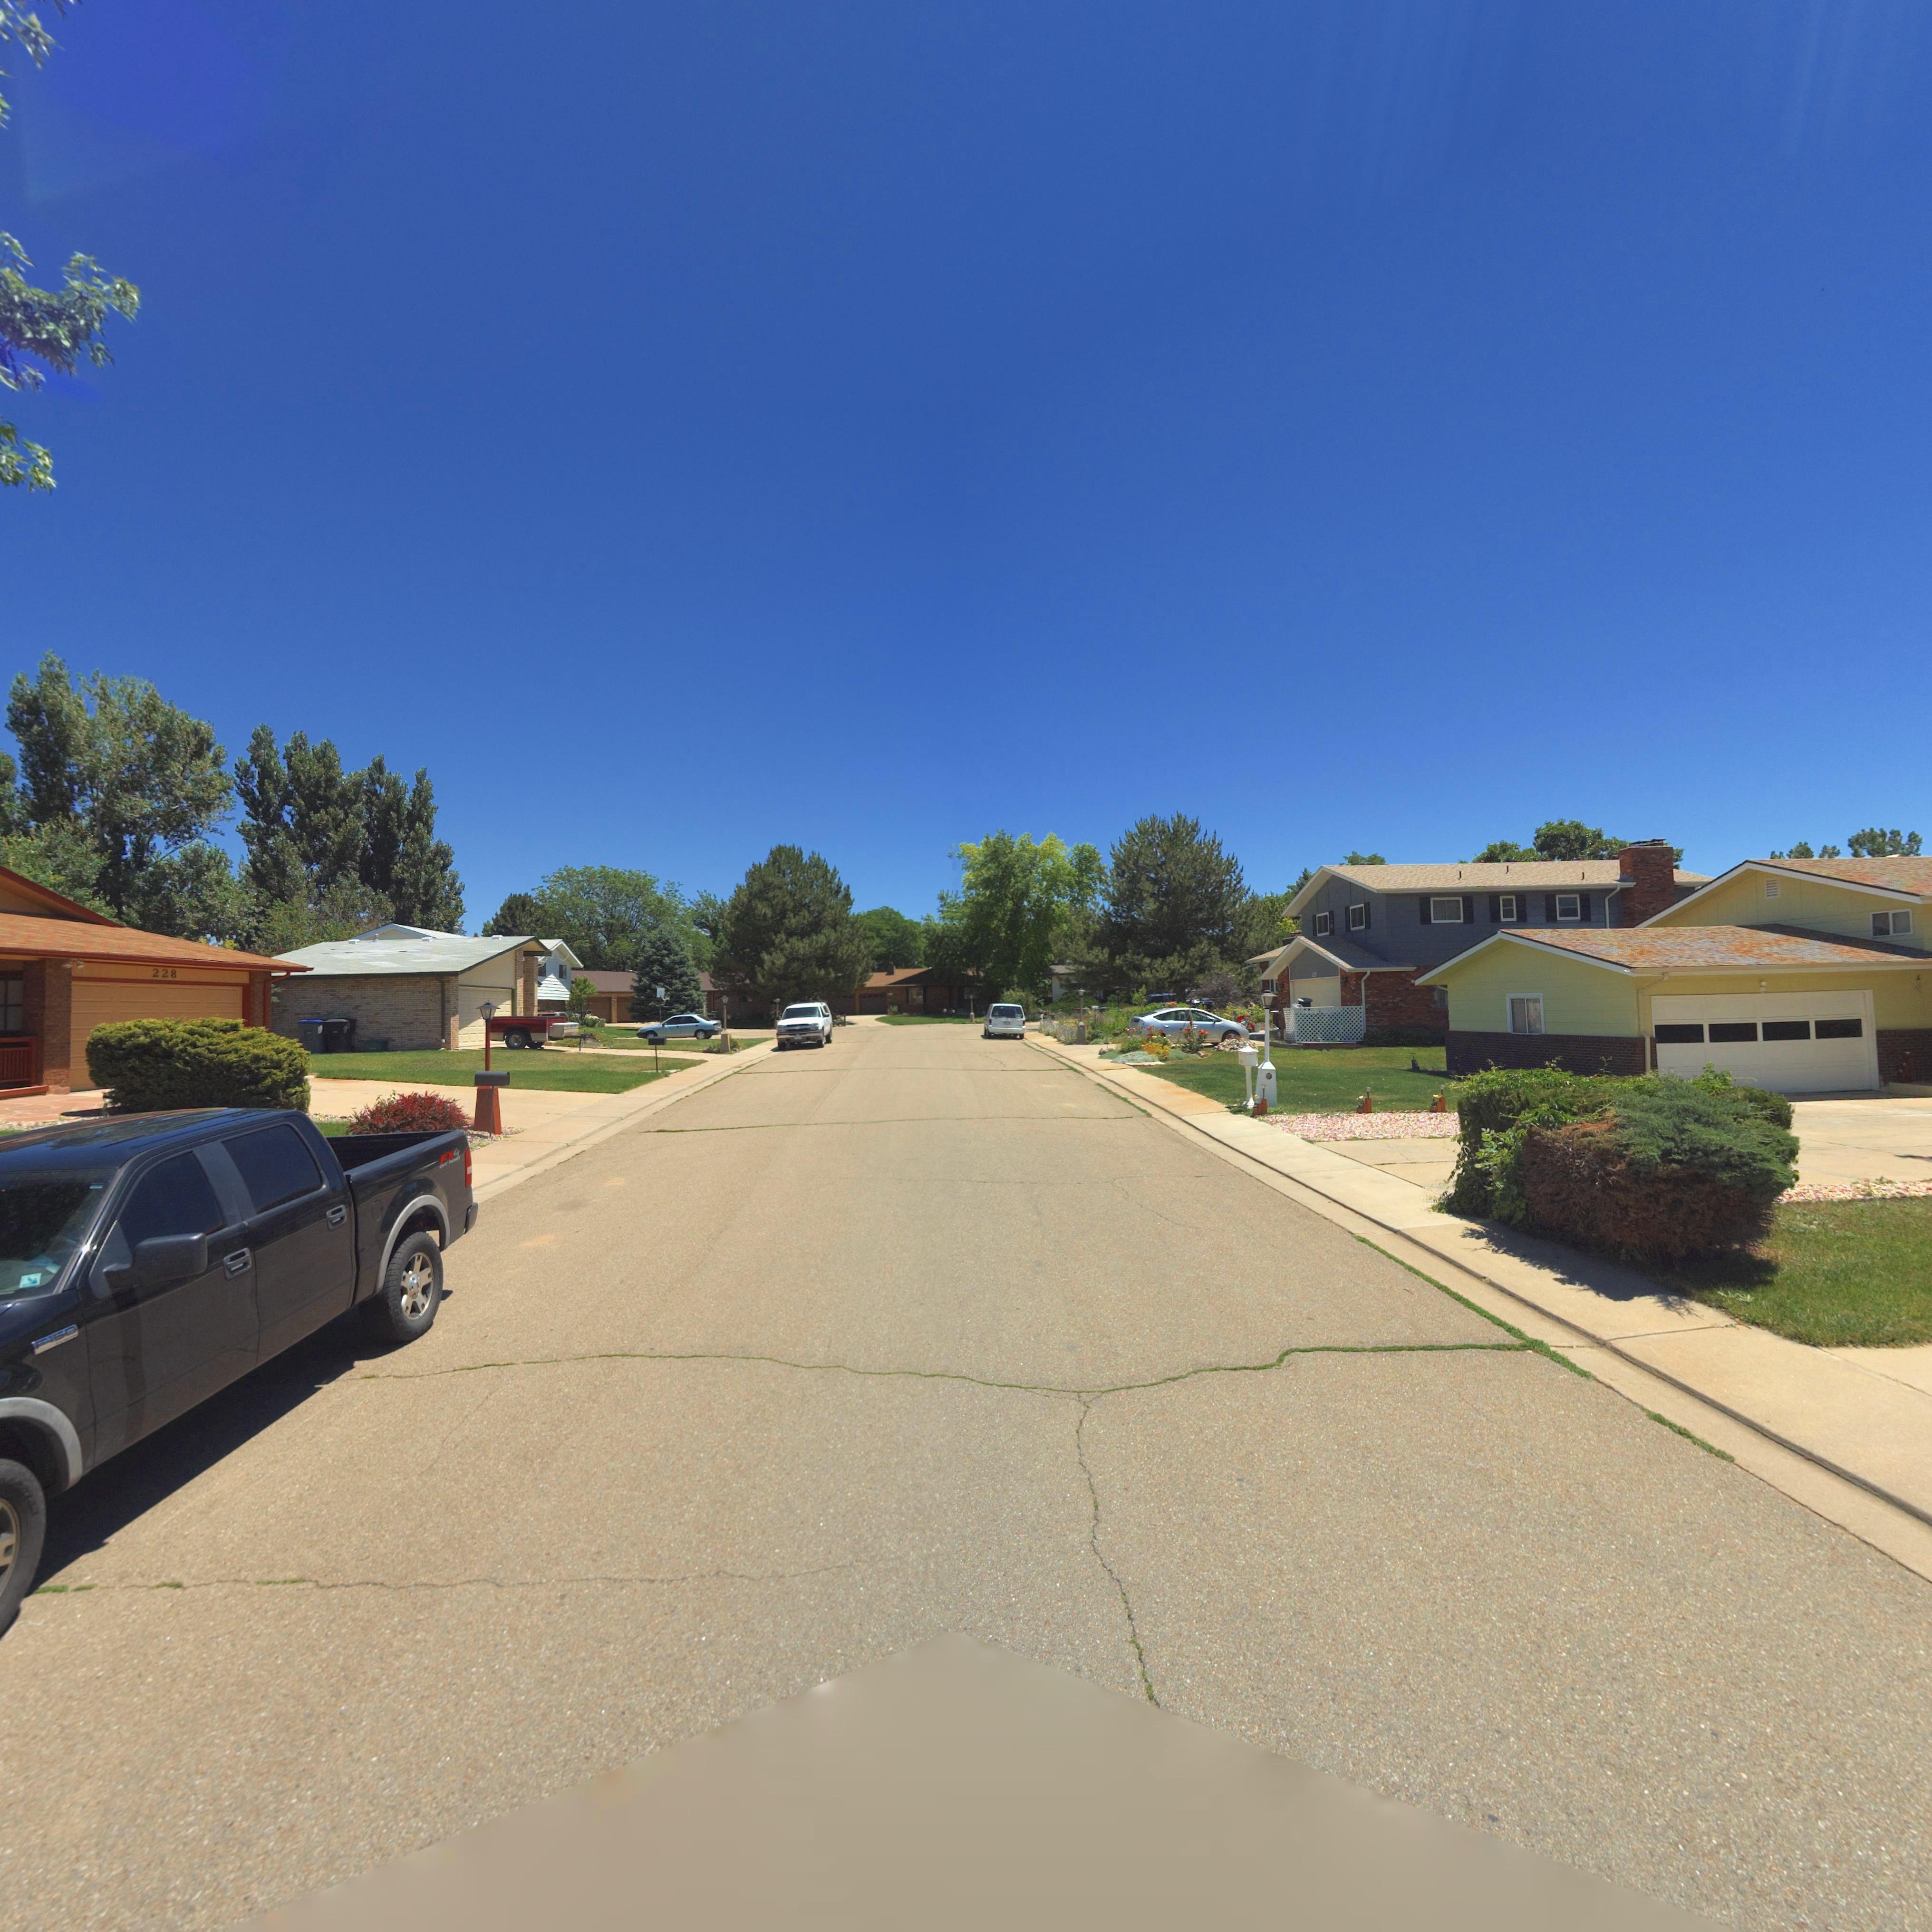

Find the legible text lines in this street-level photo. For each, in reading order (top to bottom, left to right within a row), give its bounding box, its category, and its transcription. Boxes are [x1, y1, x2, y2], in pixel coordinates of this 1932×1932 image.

[152, 967, 176, 977] StreetNumber: 228